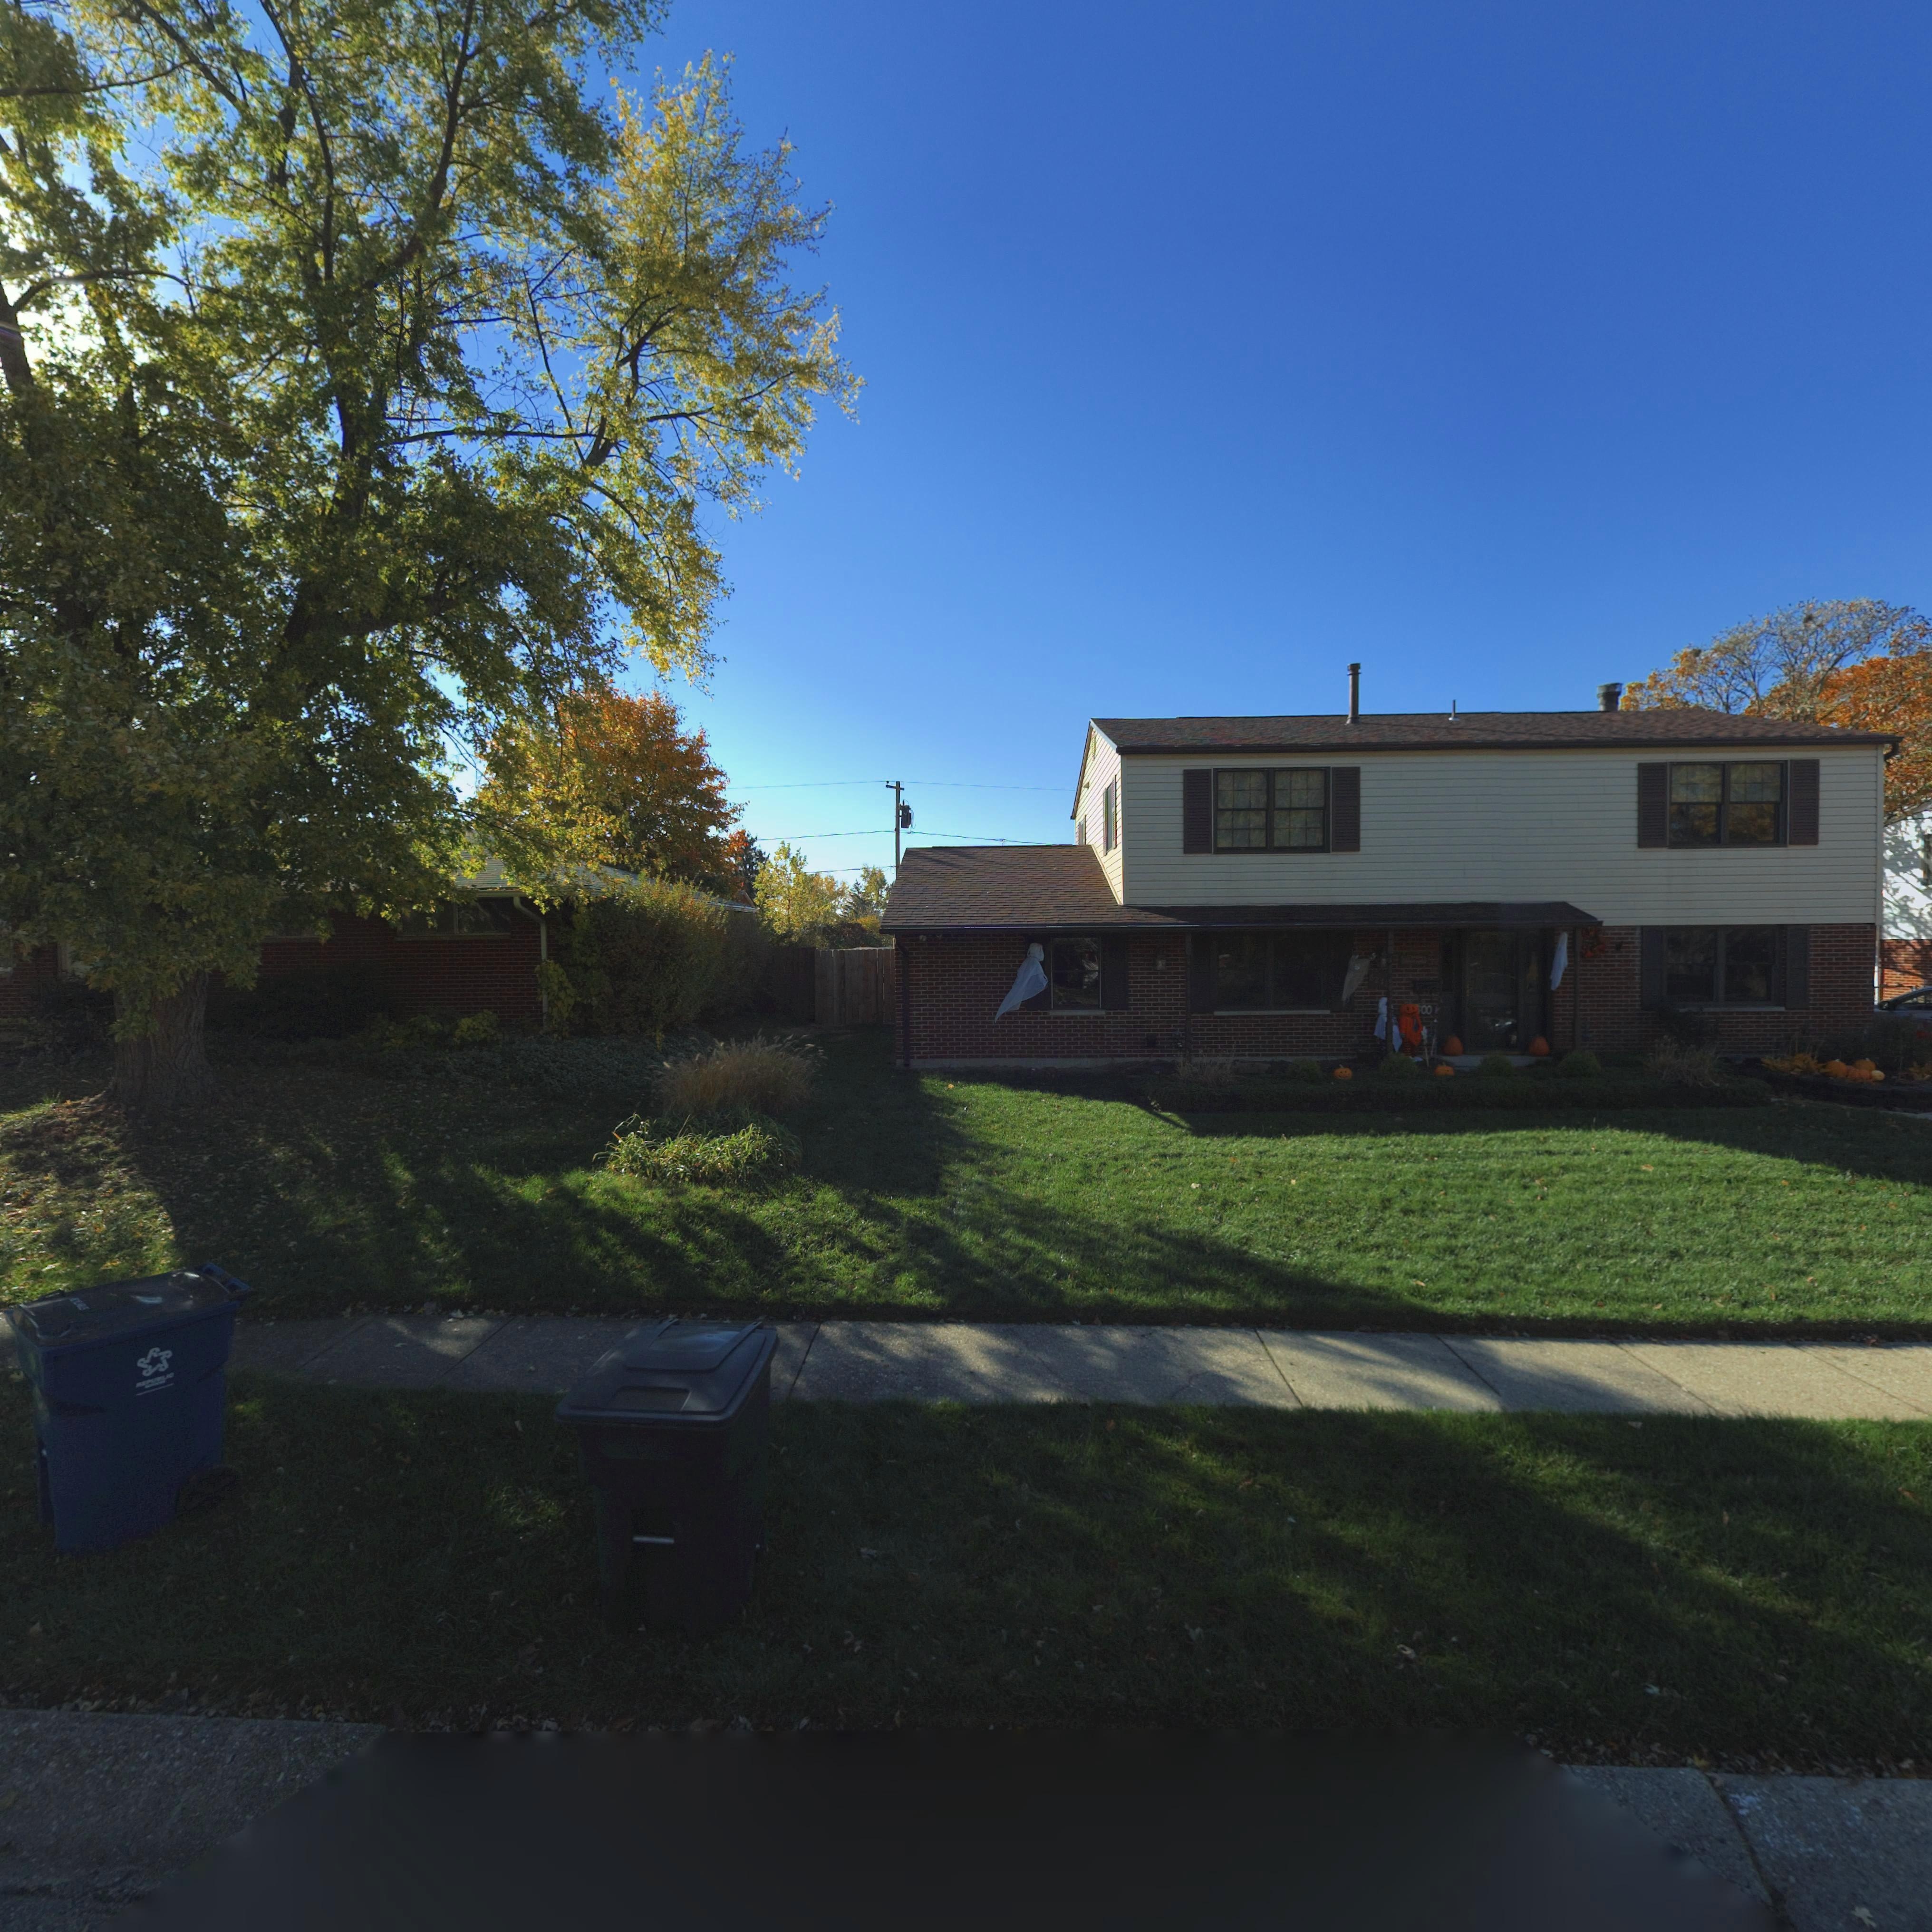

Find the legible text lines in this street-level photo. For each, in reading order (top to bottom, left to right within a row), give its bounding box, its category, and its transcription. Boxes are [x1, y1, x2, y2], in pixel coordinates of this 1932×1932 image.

[1368, 972, 1385, 985] StreetNumber: 621